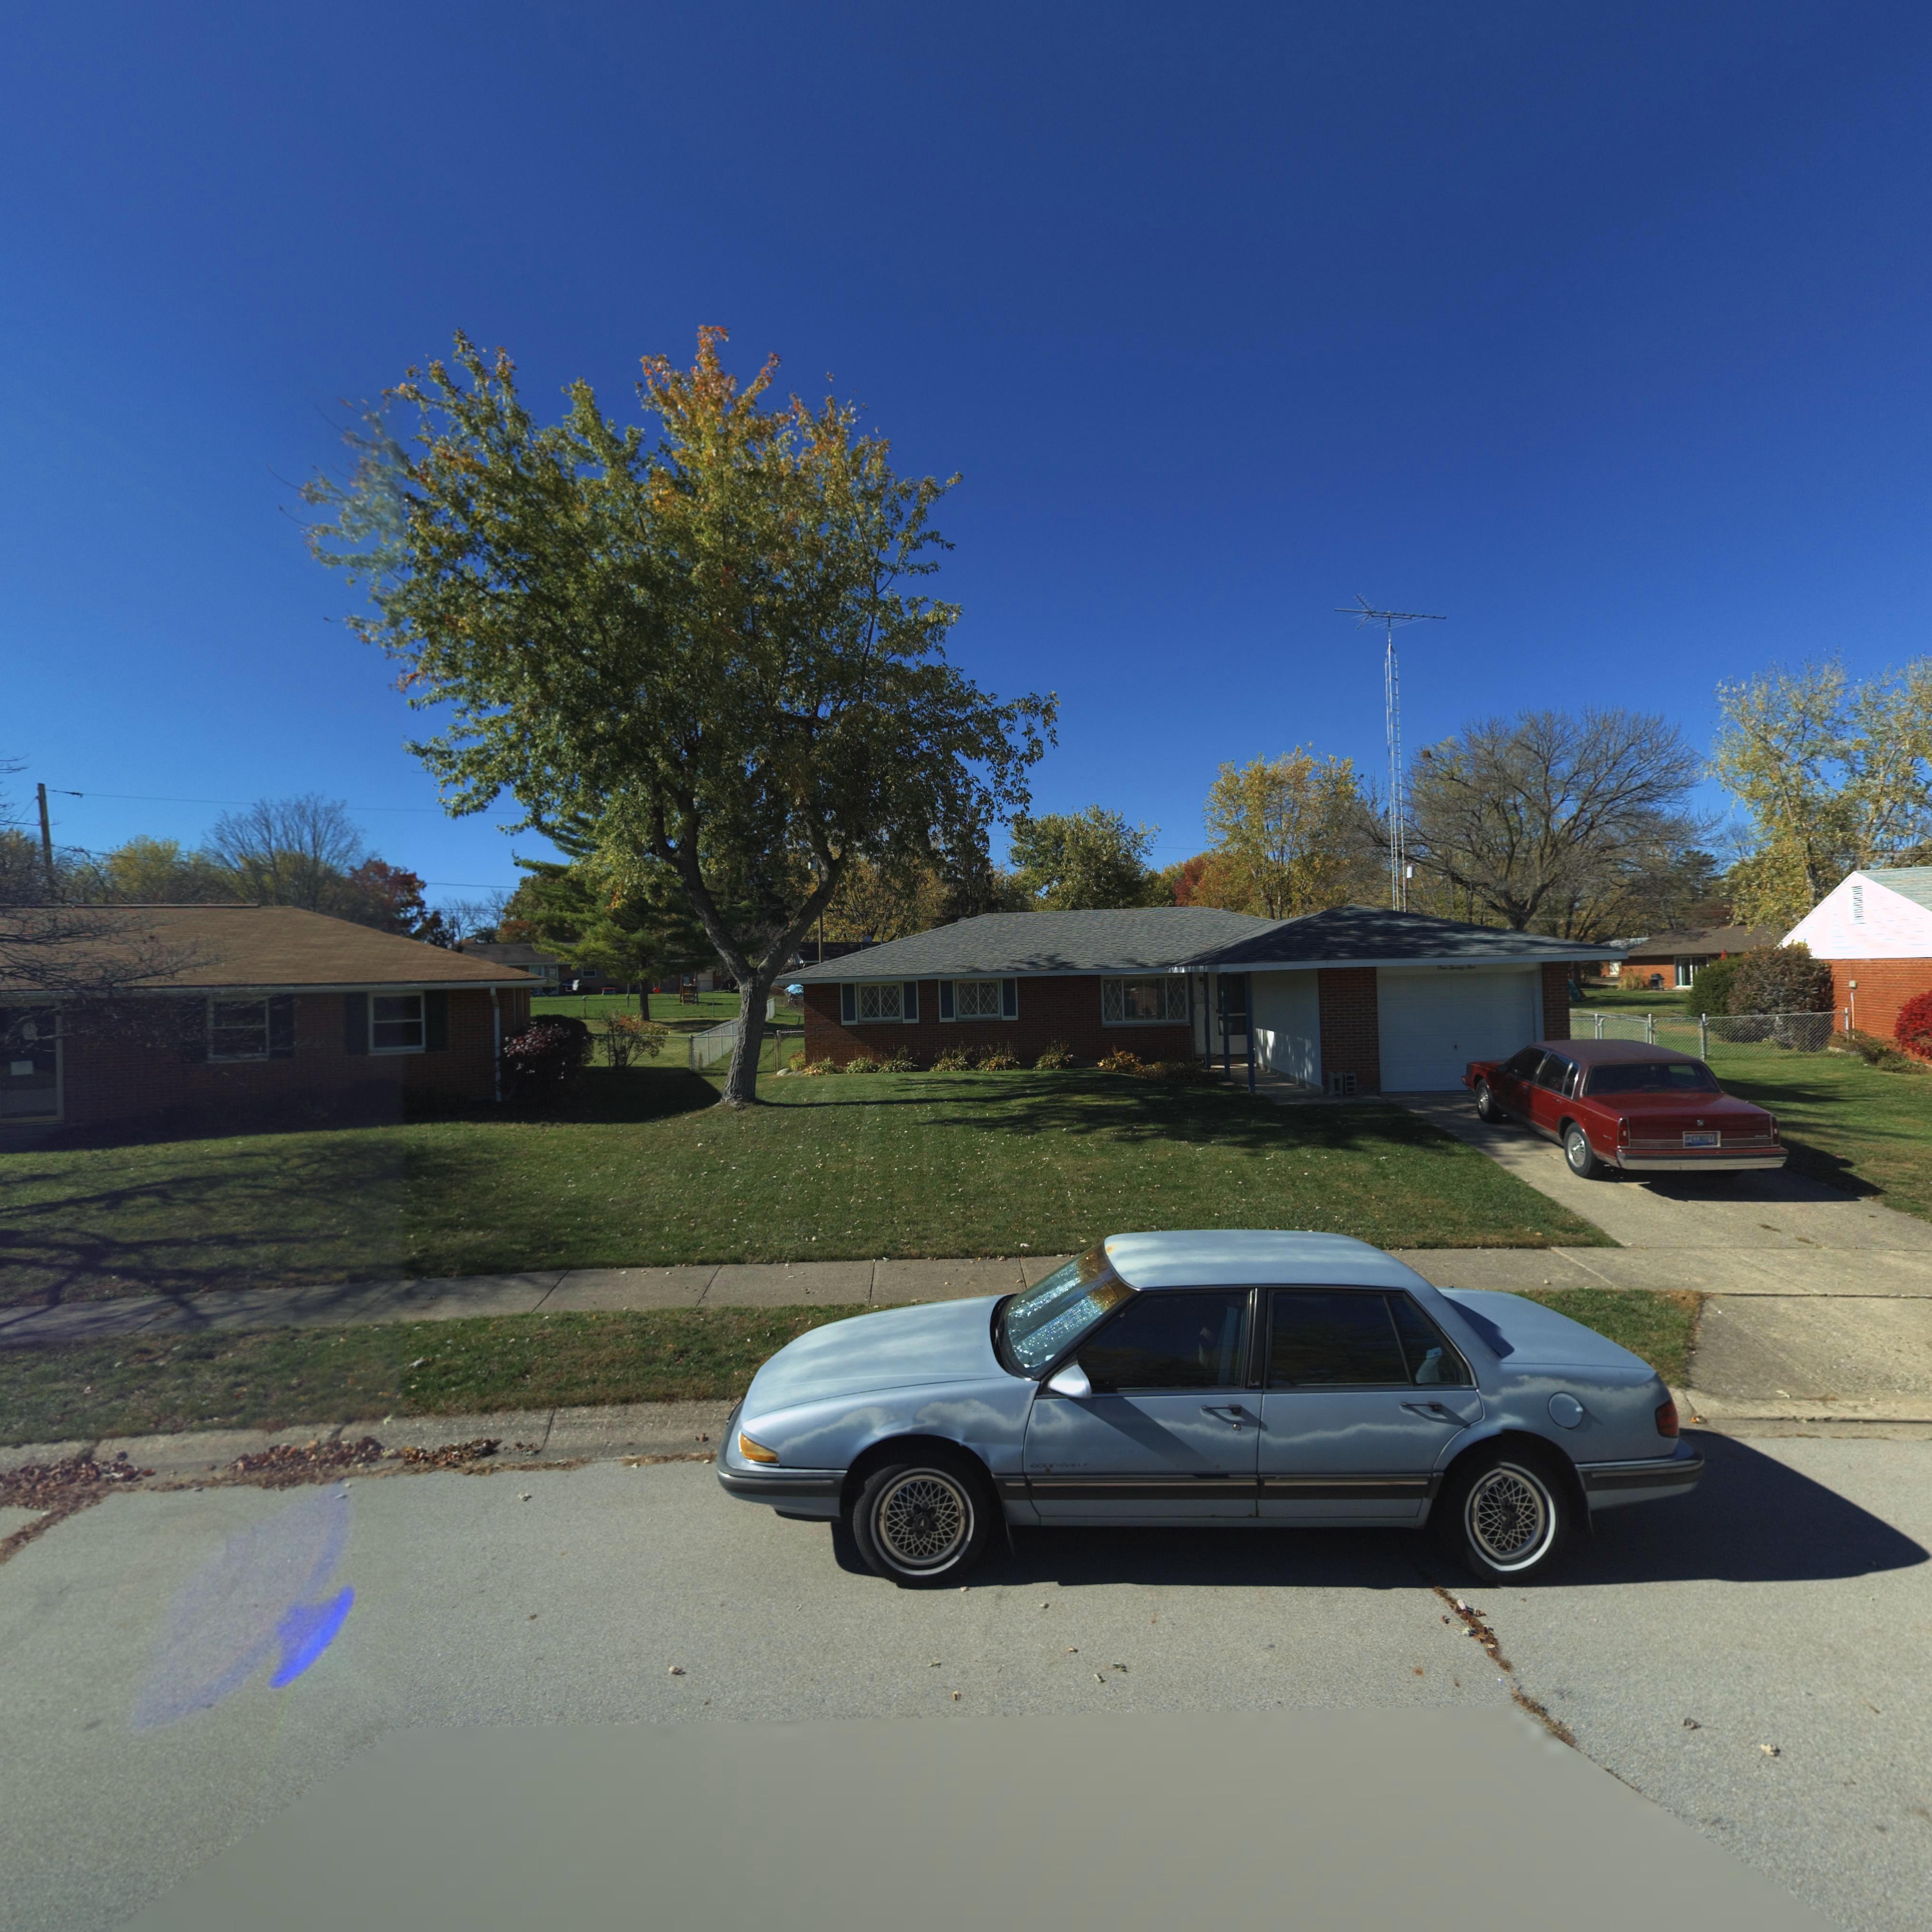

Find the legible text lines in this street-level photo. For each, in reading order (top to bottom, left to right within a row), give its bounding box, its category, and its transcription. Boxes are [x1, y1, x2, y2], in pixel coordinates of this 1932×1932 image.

[1197, 987, 1205, 996] StreetNumber: 12